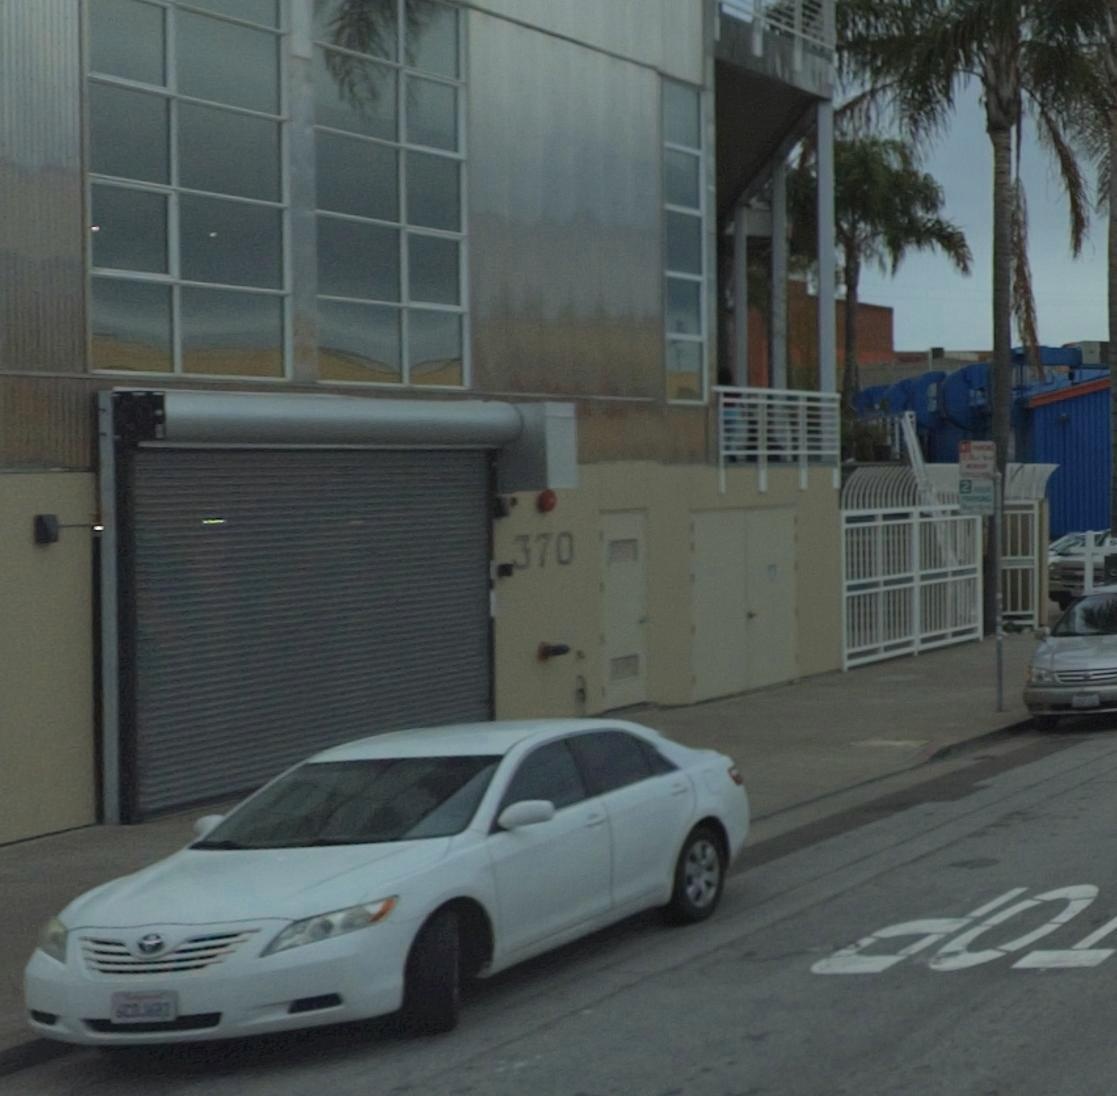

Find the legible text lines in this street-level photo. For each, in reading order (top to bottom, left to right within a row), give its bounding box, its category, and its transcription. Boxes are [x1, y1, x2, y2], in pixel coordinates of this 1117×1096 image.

[961, 480, 971, 493] None: 2
[511, 530, 575, 571] StreetNumber: 370
[114, 1002, 171, 1019] None: 6*******